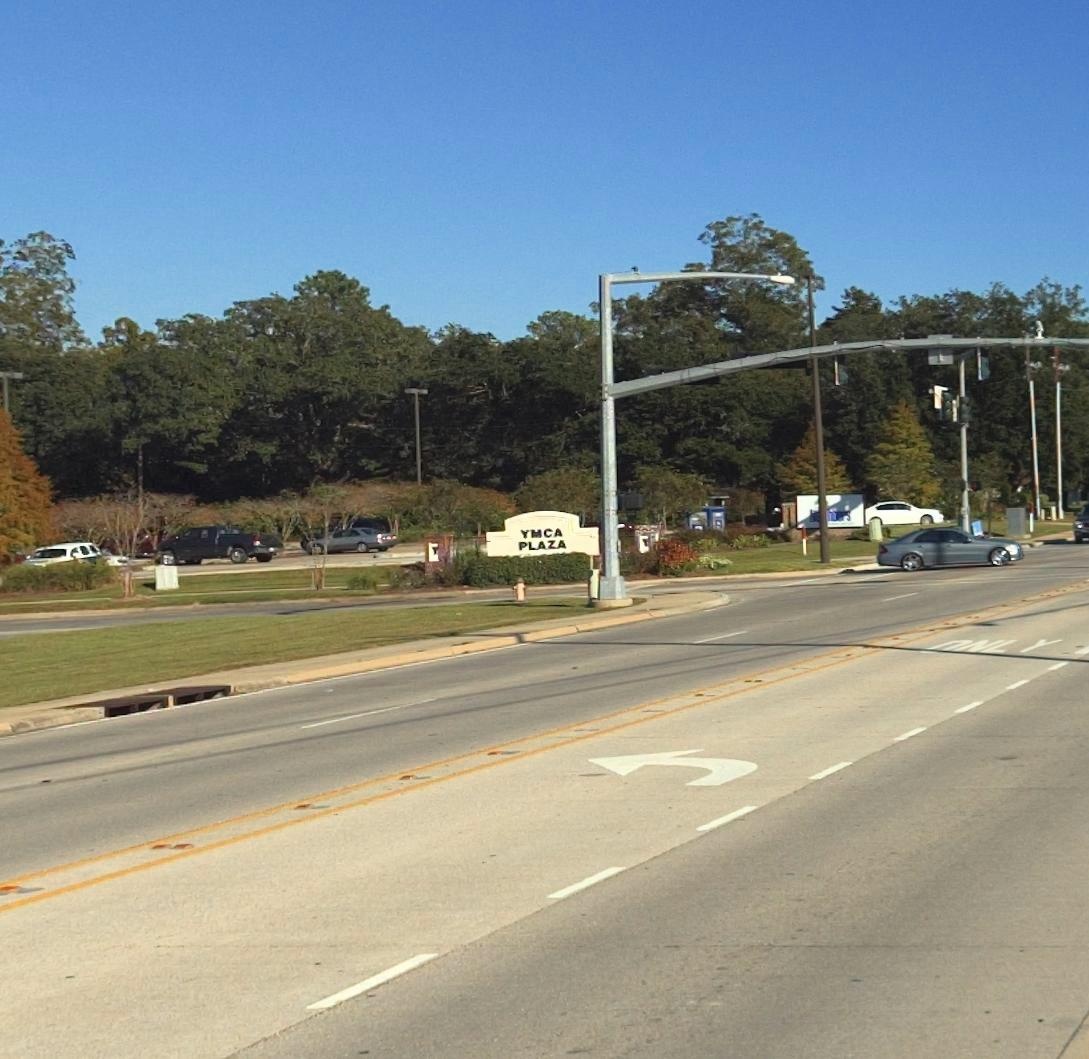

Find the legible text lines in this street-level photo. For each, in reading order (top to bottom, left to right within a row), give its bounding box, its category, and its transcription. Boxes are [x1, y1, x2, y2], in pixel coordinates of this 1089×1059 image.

[519, 527, 565, 541] BusinessName: YMCA
[517, 539, 568, 552] None: PLAZA
[904, 637, 1068, 656] None: ONLY